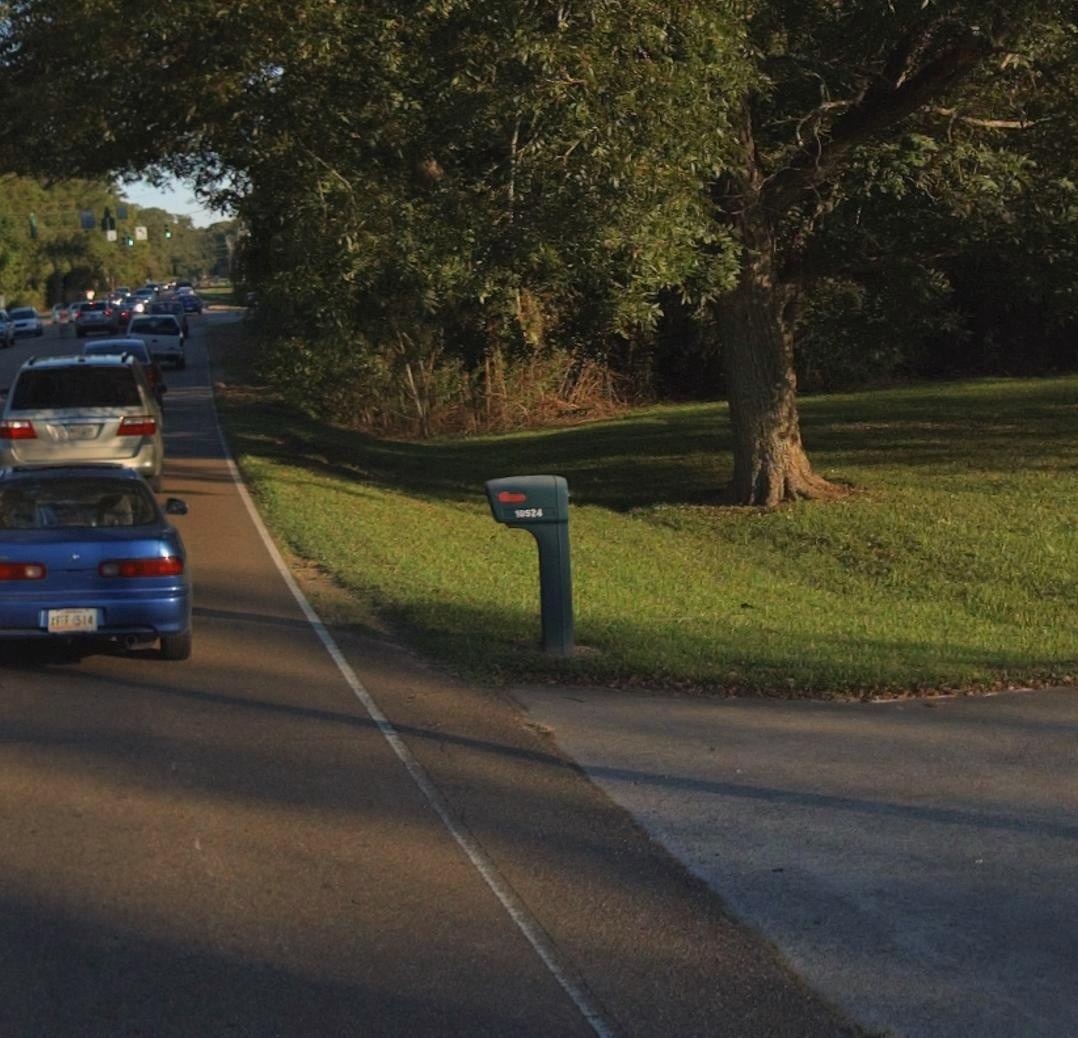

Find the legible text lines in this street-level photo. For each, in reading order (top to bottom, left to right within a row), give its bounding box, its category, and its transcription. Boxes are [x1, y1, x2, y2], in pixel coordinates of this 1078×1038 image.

[514, 508, 544, 518] StreetNumber: 10524
[48, 614, 96, 628] None: *** 314